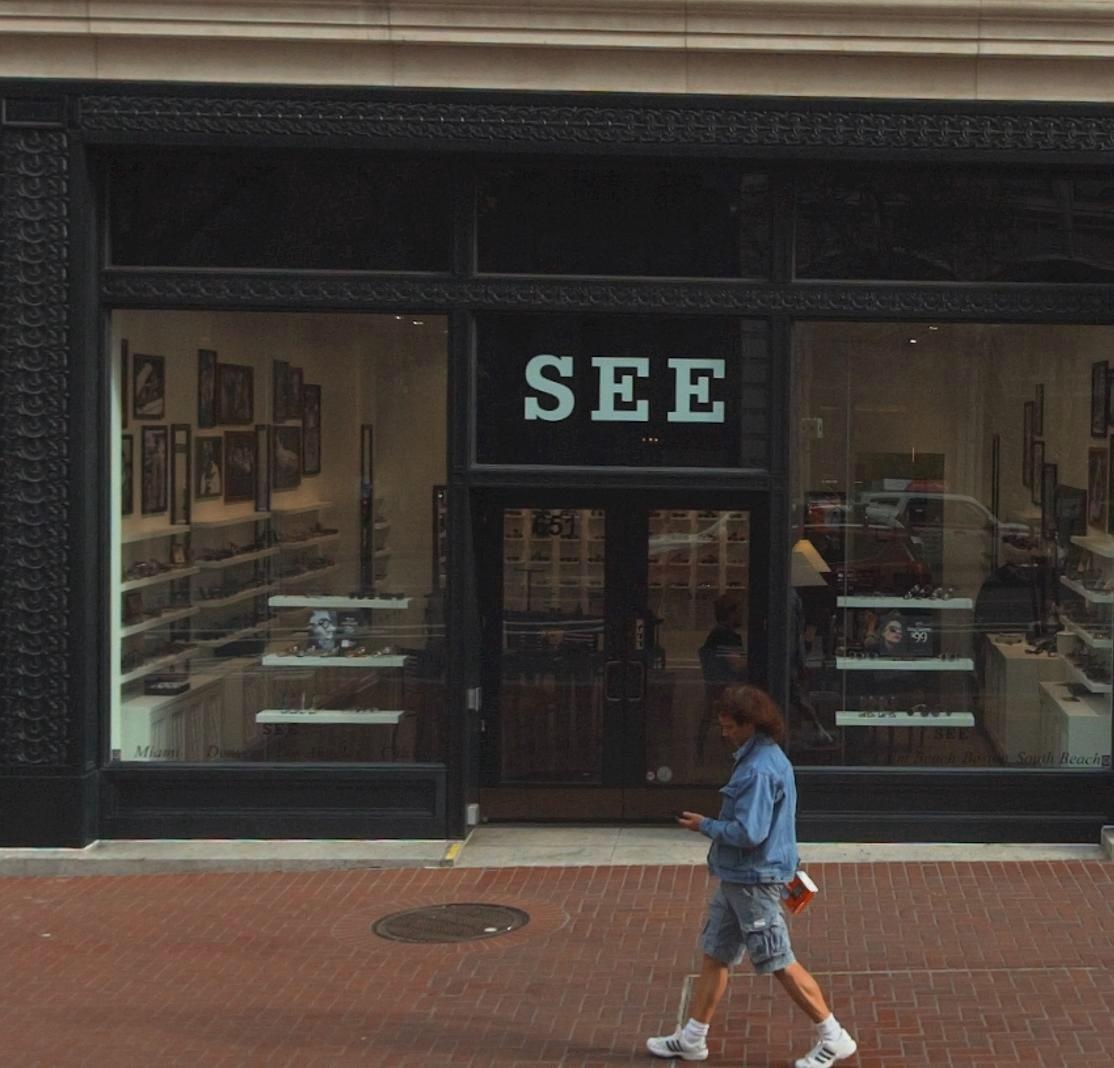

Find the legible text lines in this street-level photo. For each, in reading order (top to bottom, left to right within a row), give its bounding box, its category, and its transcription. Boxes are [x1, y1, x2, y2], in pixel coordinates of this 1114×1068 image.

[521, 352, 724, 421] BusinessName: SEE
[532, 514, 578, 536] StreetNumber: 651
[636, 618, 643, 649] None: PULL
[261, 722, 299, 736] BusinessName: SEE
[932, 725, 968, 740] BusinessName: SEE
[132, 744, 181, 758] None: Miami
[911, 750, 1101, 767] None: Beach Boston South Beach